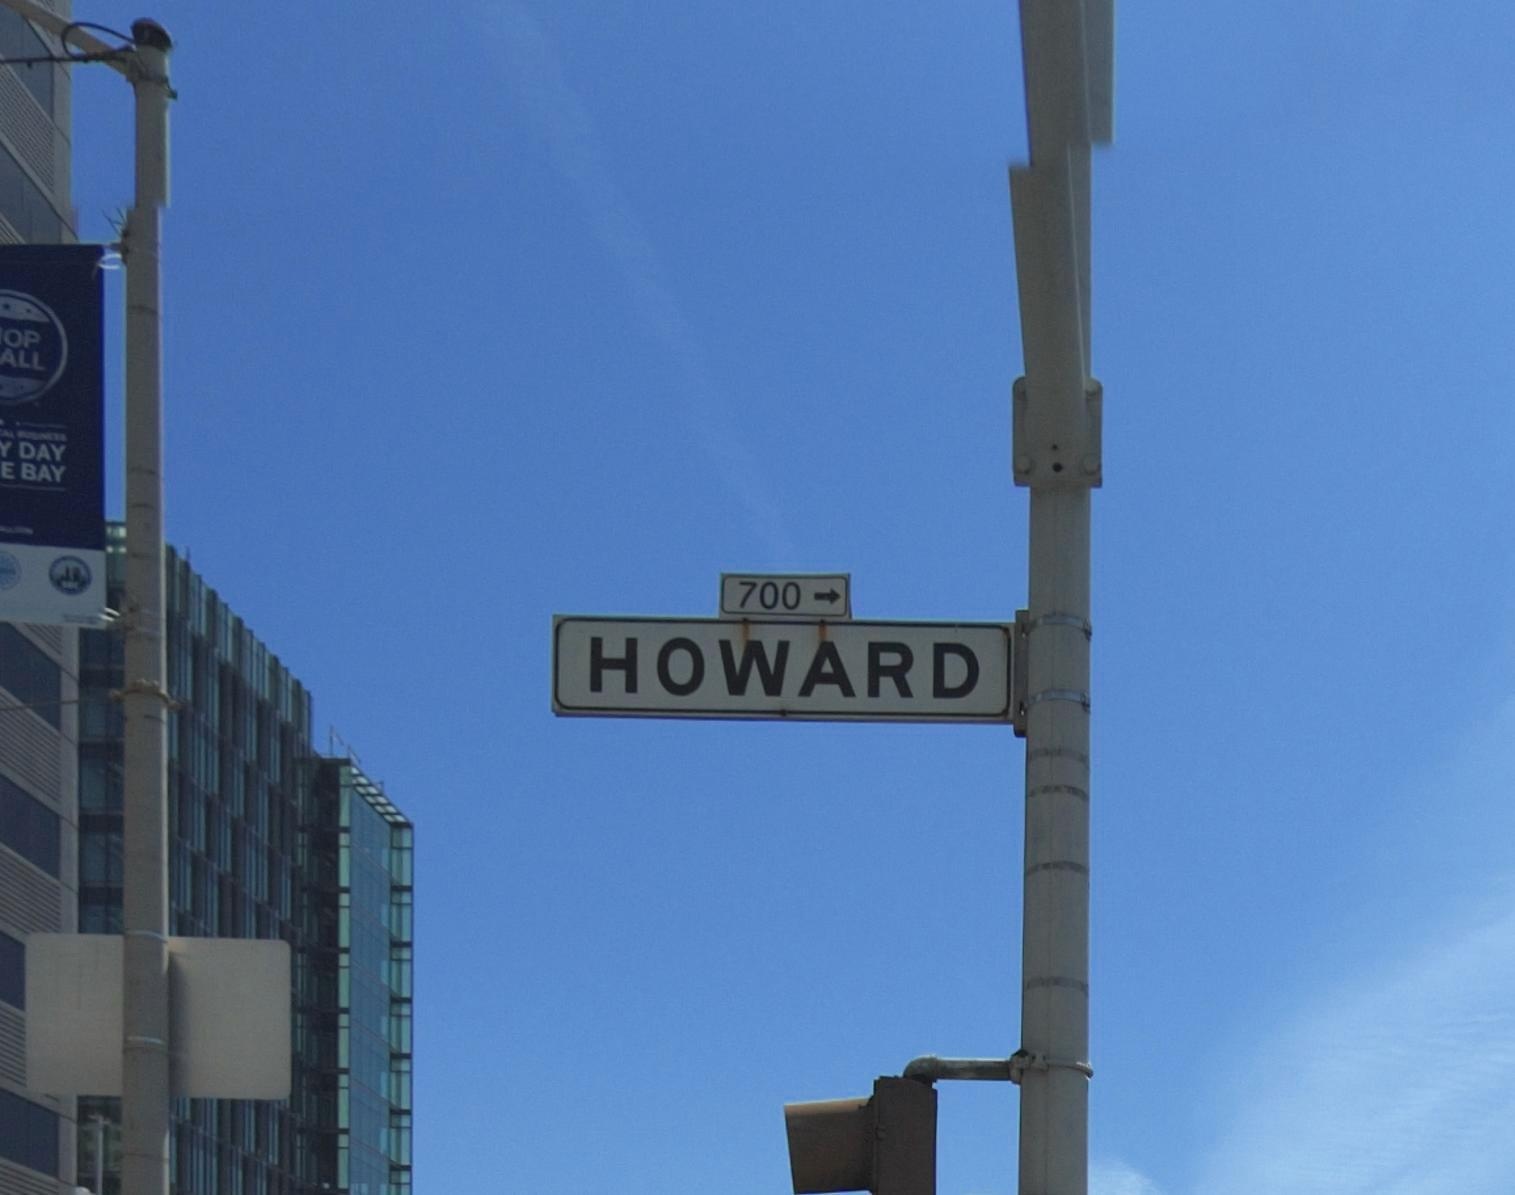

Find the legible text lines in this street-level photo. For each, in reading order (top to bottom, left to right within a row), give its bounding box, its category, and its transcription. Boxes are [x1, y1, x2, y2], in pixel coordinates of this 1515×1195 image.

[2, 328, 41, 352] None: OP
[1, 347, 46, 370] None: ALL
[16, 440, 69, 464] None: DAY
[0, 459, 71, 483] None: E BAY
[734, 579, 843, 610] StreetNumberRange: 700->
[587, 635, 982, 701] StreetName: HOWARD